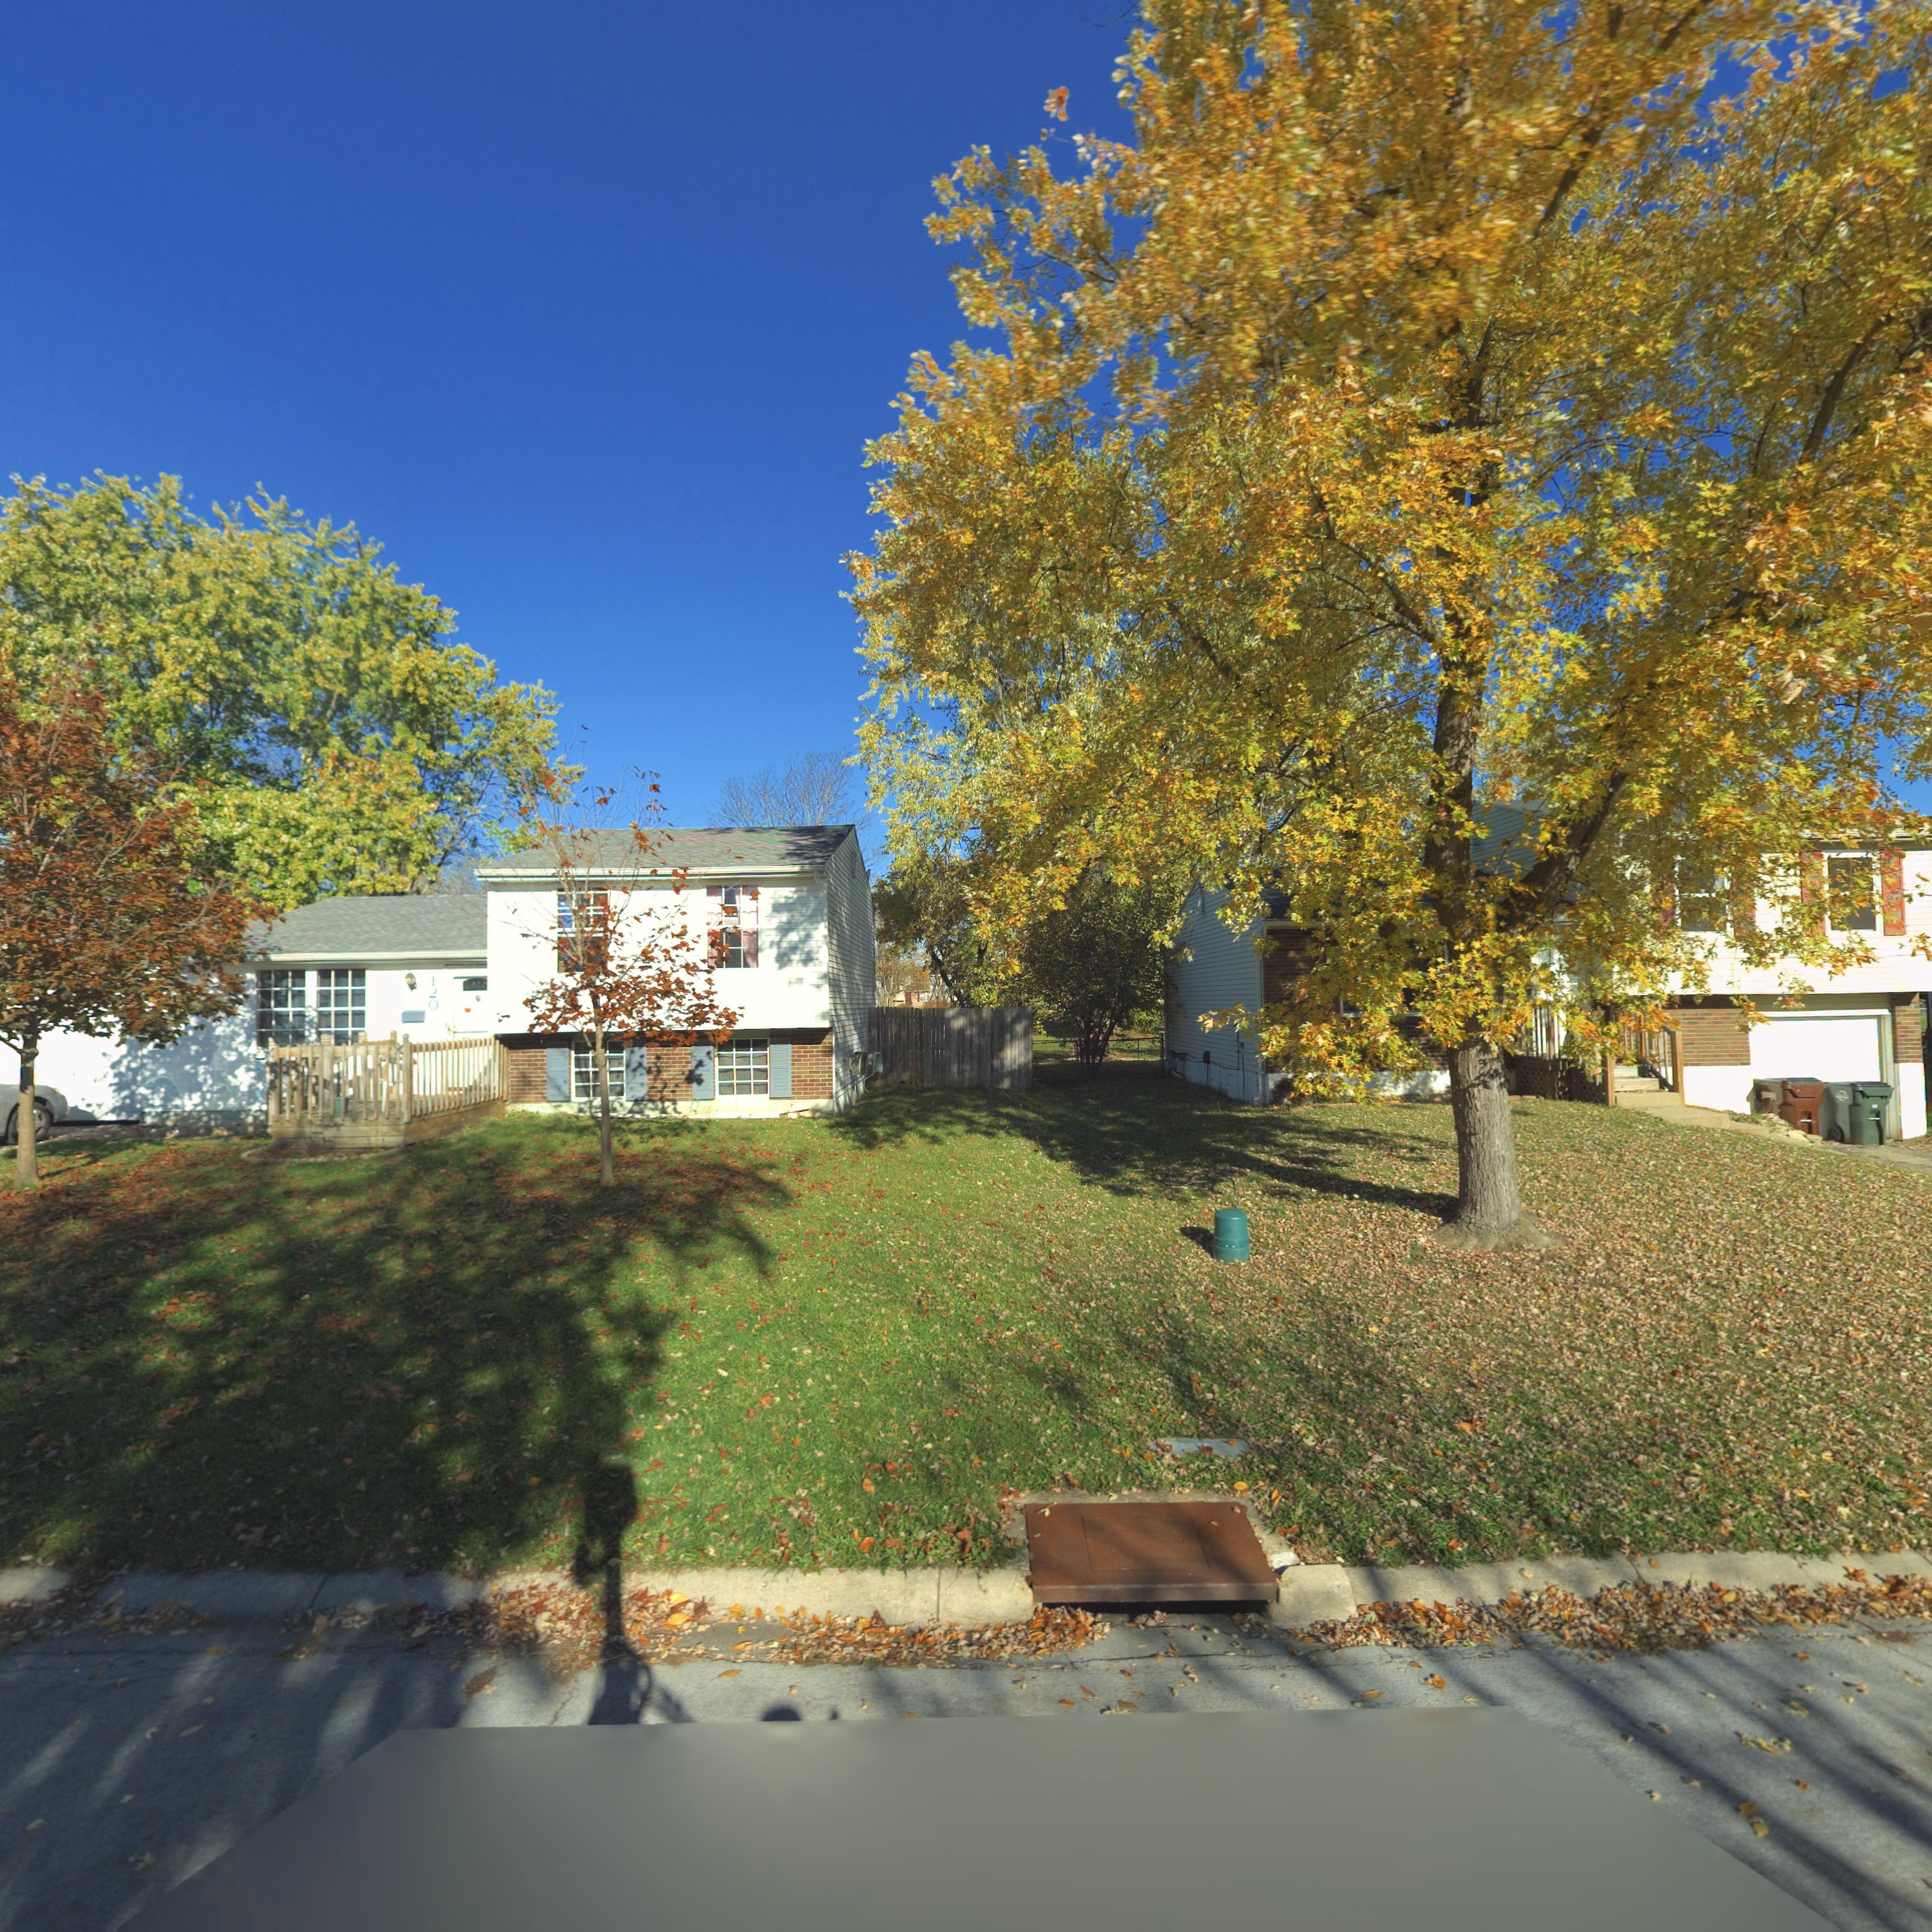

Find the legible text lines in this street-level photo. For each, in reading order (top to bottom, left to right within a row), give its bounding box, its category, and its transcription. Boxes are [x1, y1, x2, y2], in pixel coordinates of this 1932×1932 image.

[428, 976, 439, 1011] StreetNumber: 120